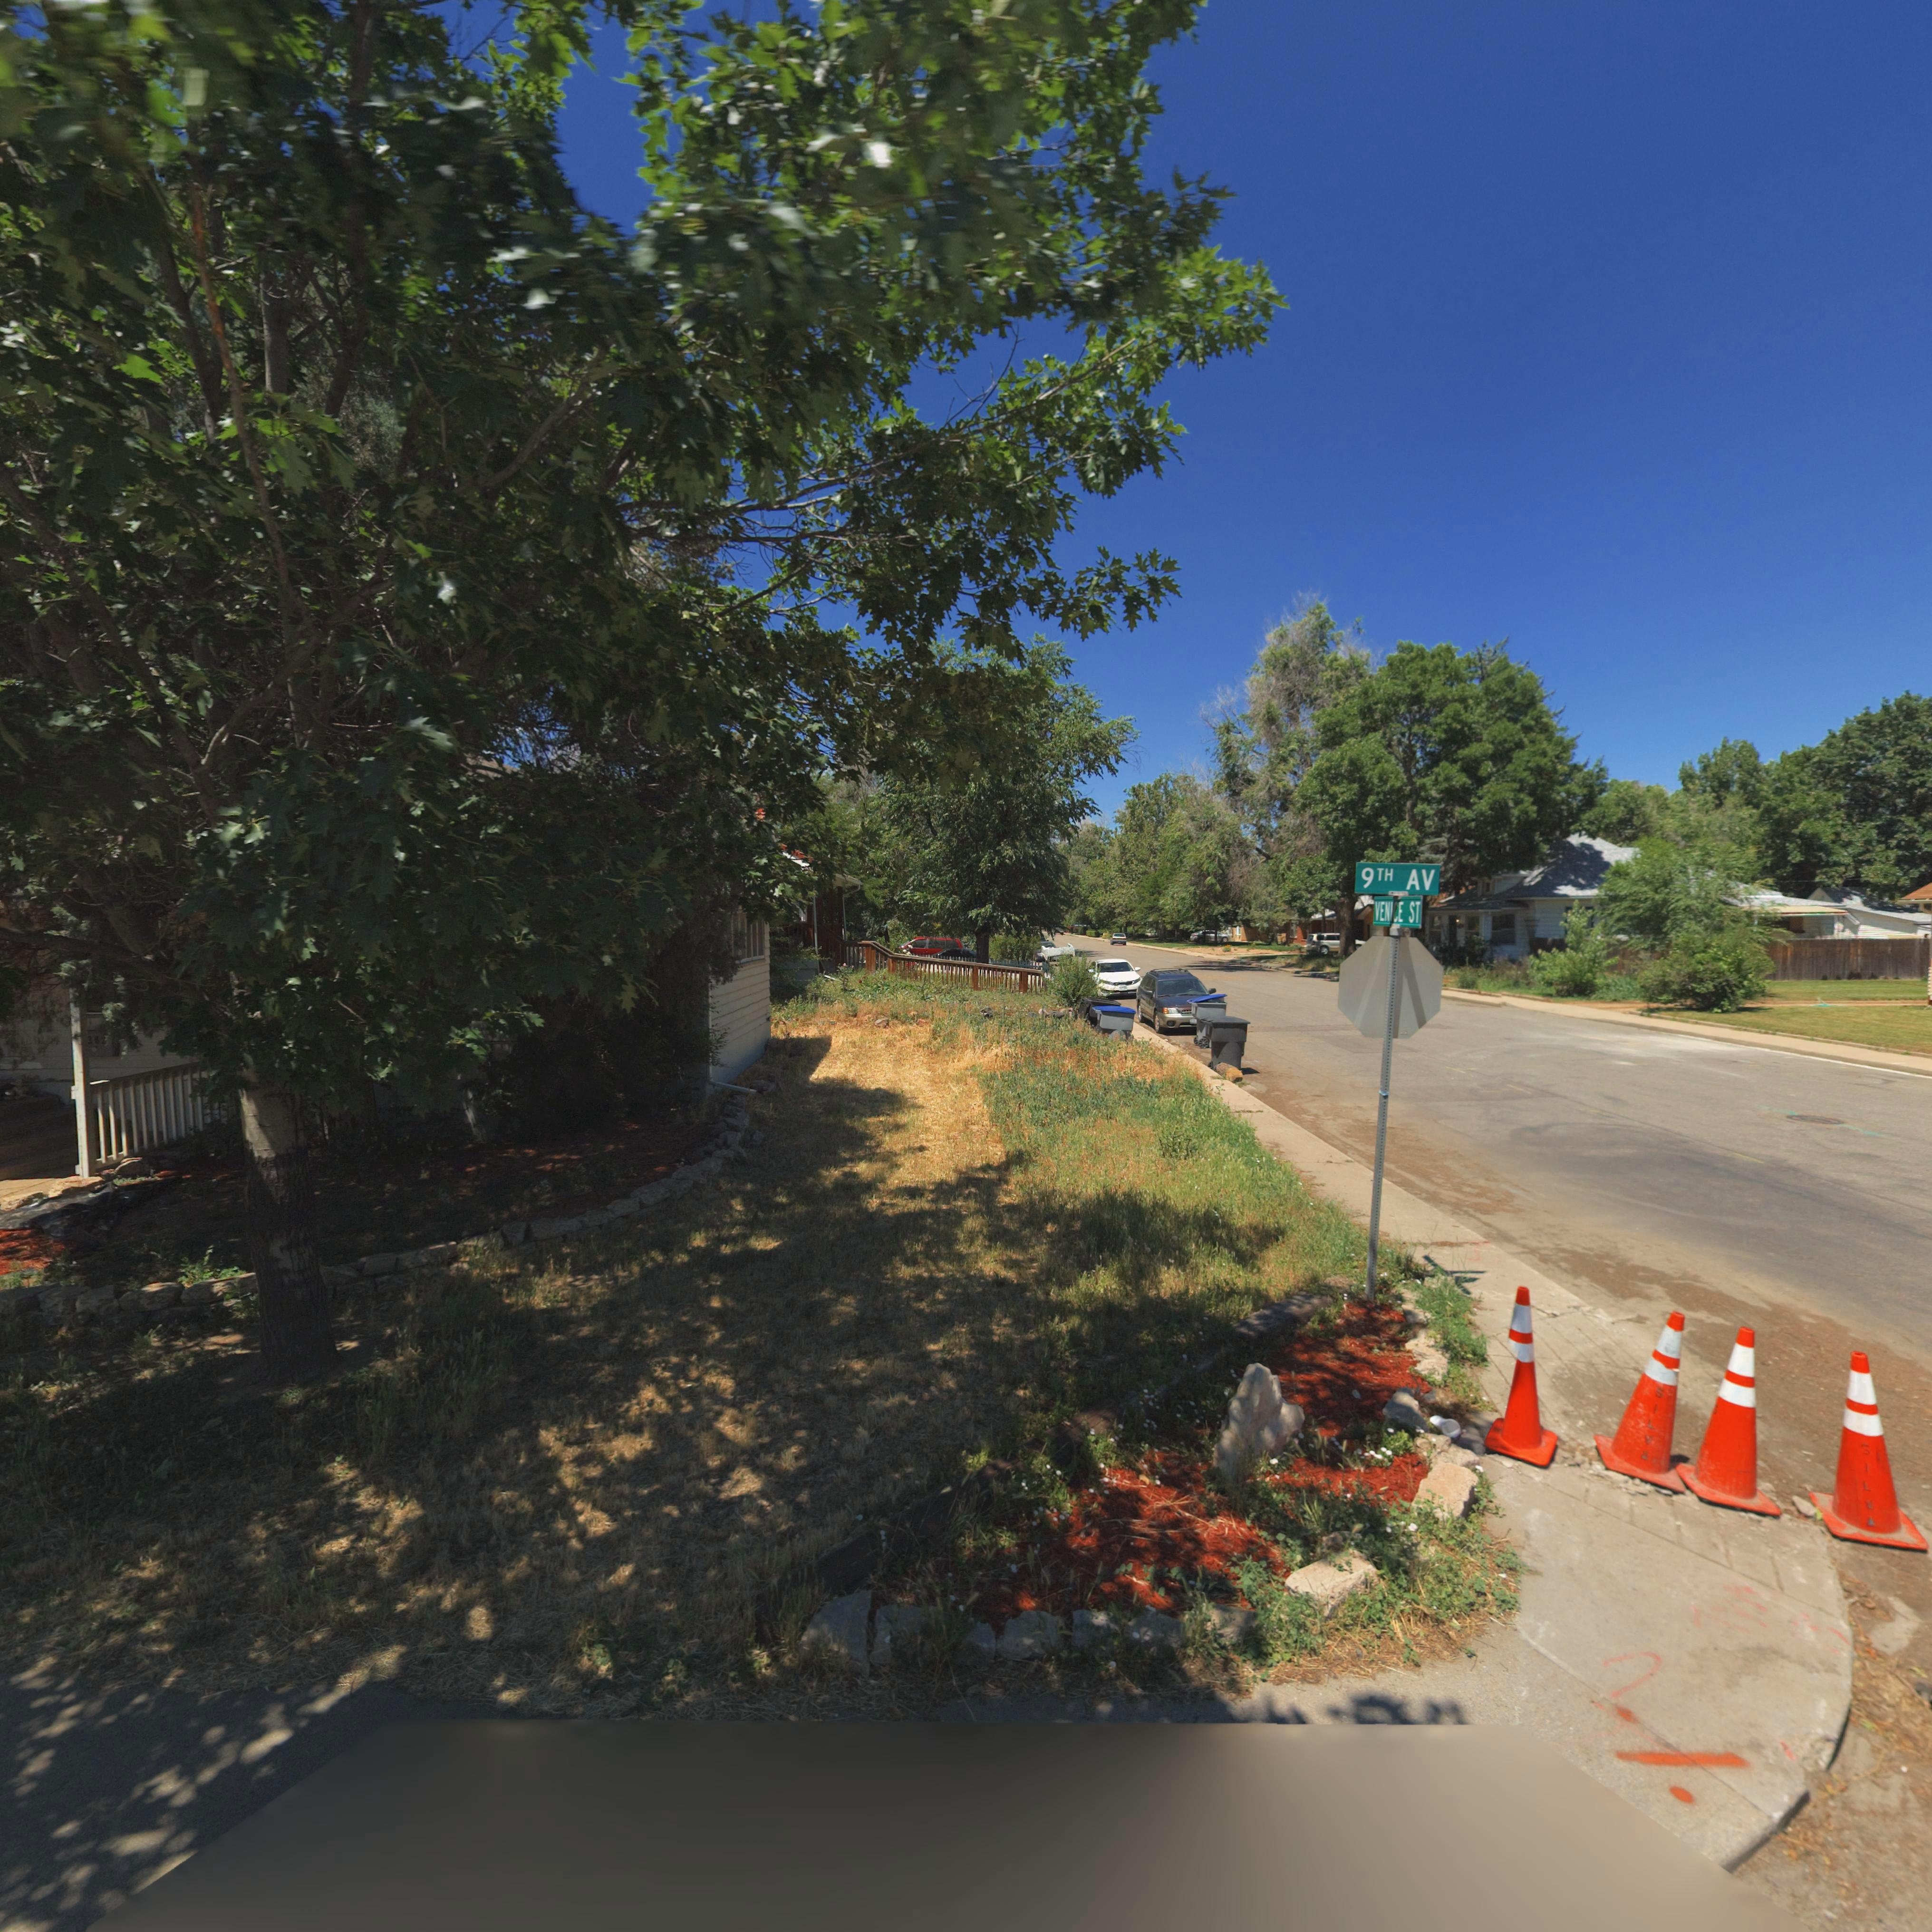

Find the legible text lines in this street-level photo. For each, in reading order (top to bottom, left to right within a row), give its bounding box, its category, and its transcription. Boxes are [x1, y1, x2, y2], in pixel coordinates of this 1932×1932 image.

[1361, 867, 1434, 890] StreetName: 9TH AV
[1374, 901, 1420, 924] StreetName: VENICE ST
[87, 1035, 106, 1044] StreetNumber: 3*2